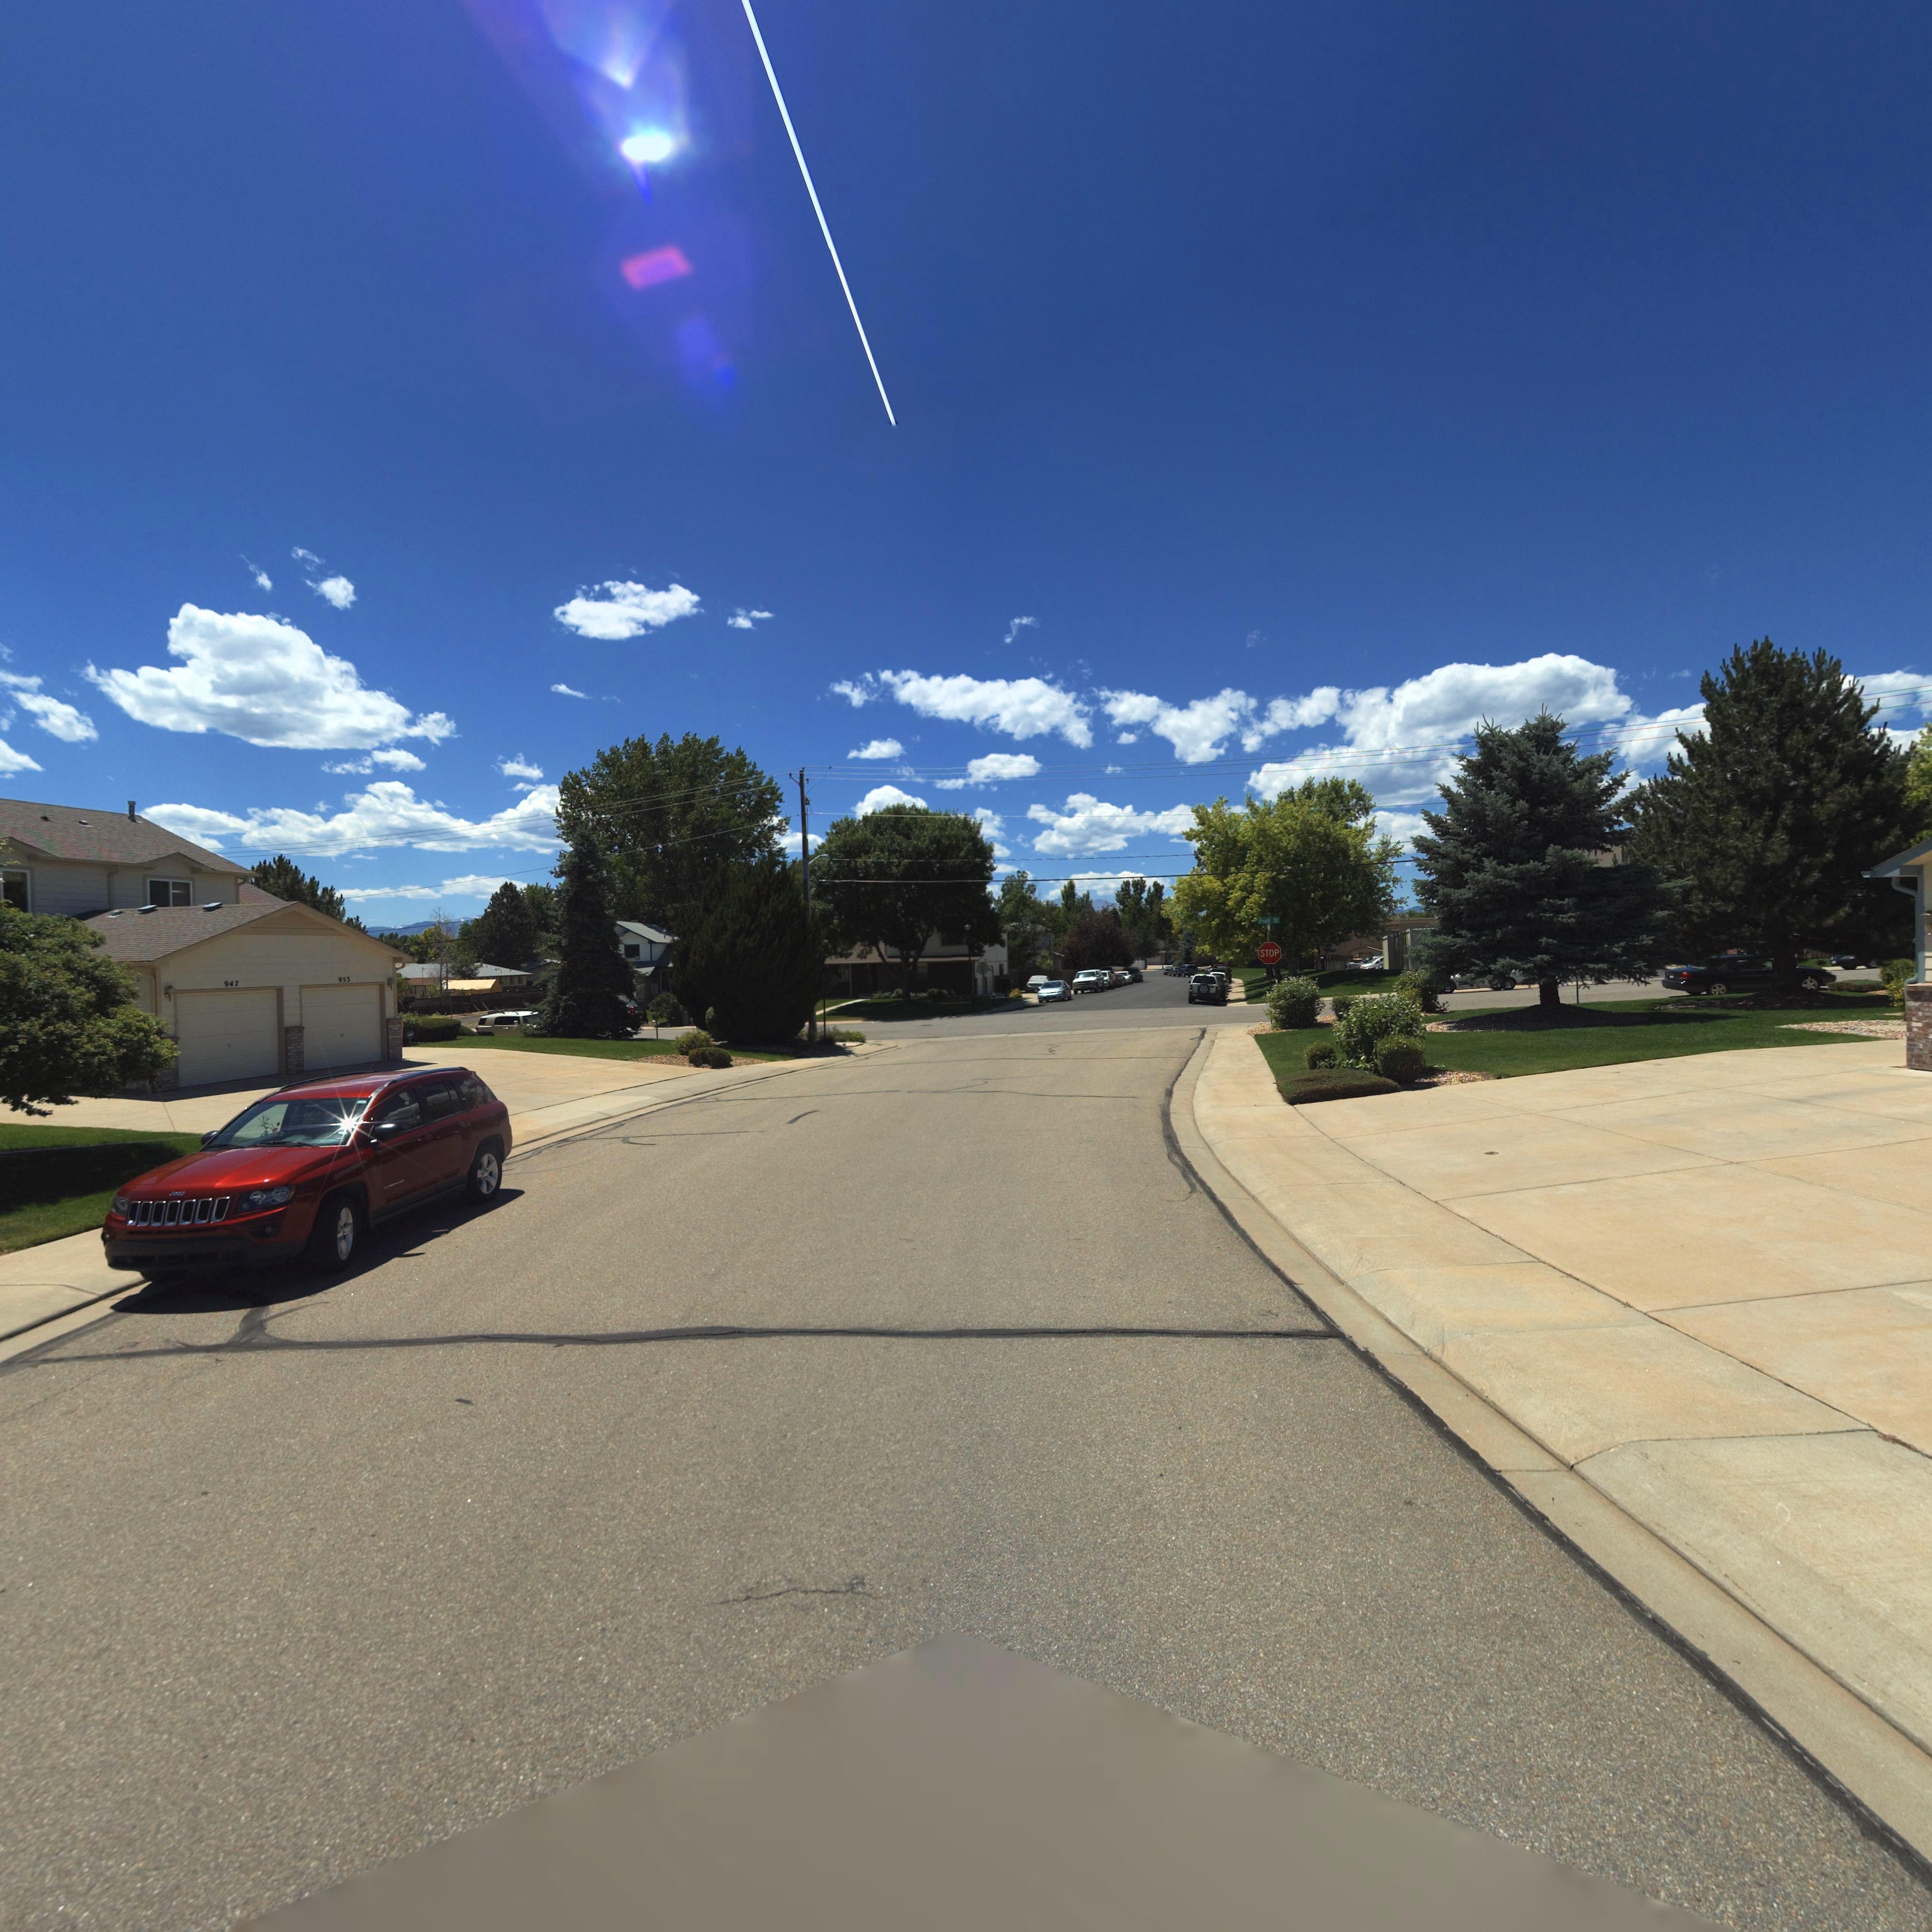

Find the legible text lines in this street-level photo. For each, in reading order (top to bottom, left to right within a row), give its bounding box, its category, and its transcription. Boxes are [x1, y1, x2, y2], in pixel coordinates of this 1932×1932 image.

[1258, 917, 1278, 924] StreetName: Pratt St
[338, 976, 350, 983] StreetNumber: 953
[224, 980, 239, 987] StreetNumber: 947